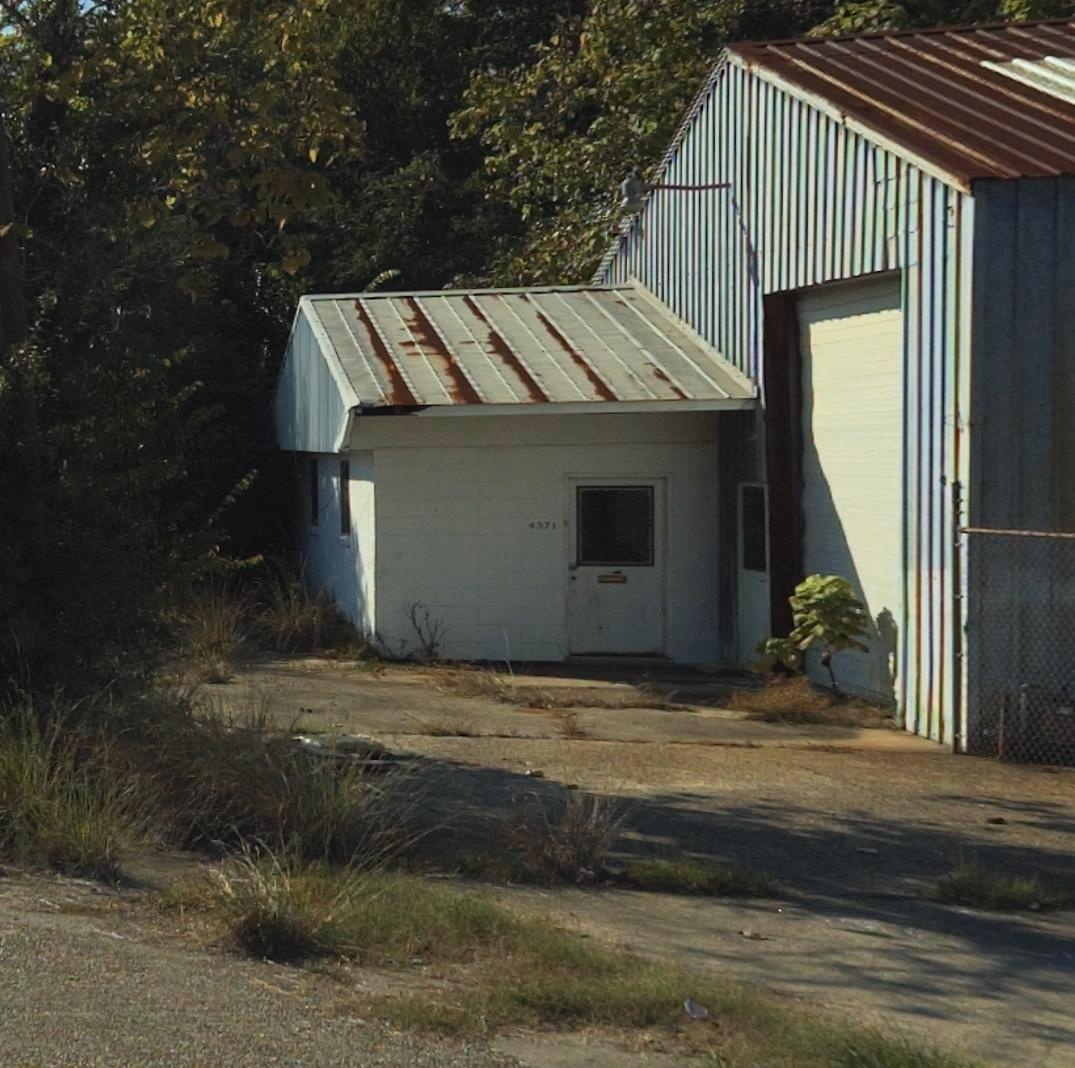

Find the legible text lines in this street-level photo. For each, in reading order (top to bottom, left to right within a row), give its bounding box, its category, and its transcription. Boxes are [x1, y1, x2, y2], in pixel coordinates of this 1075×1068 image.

[527, 520, 557, 531] StreetNumber: 4371